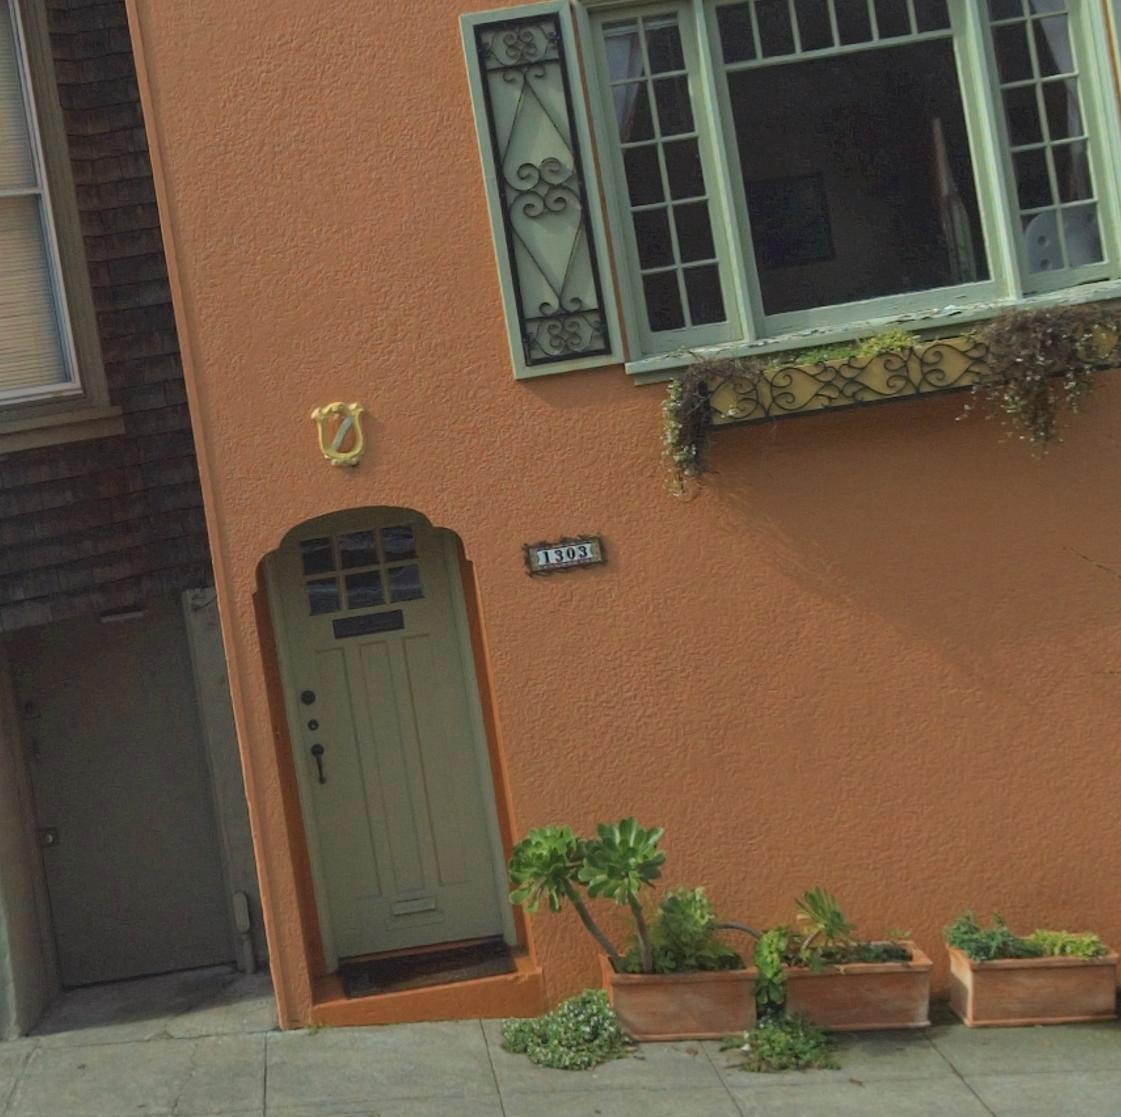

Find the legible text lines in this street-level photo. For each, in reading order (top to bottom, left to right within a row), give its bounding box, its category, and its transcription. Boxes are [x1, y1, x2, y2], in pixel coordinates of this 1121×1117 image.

[541, 542, 591, 566] StreetNumber: 1303